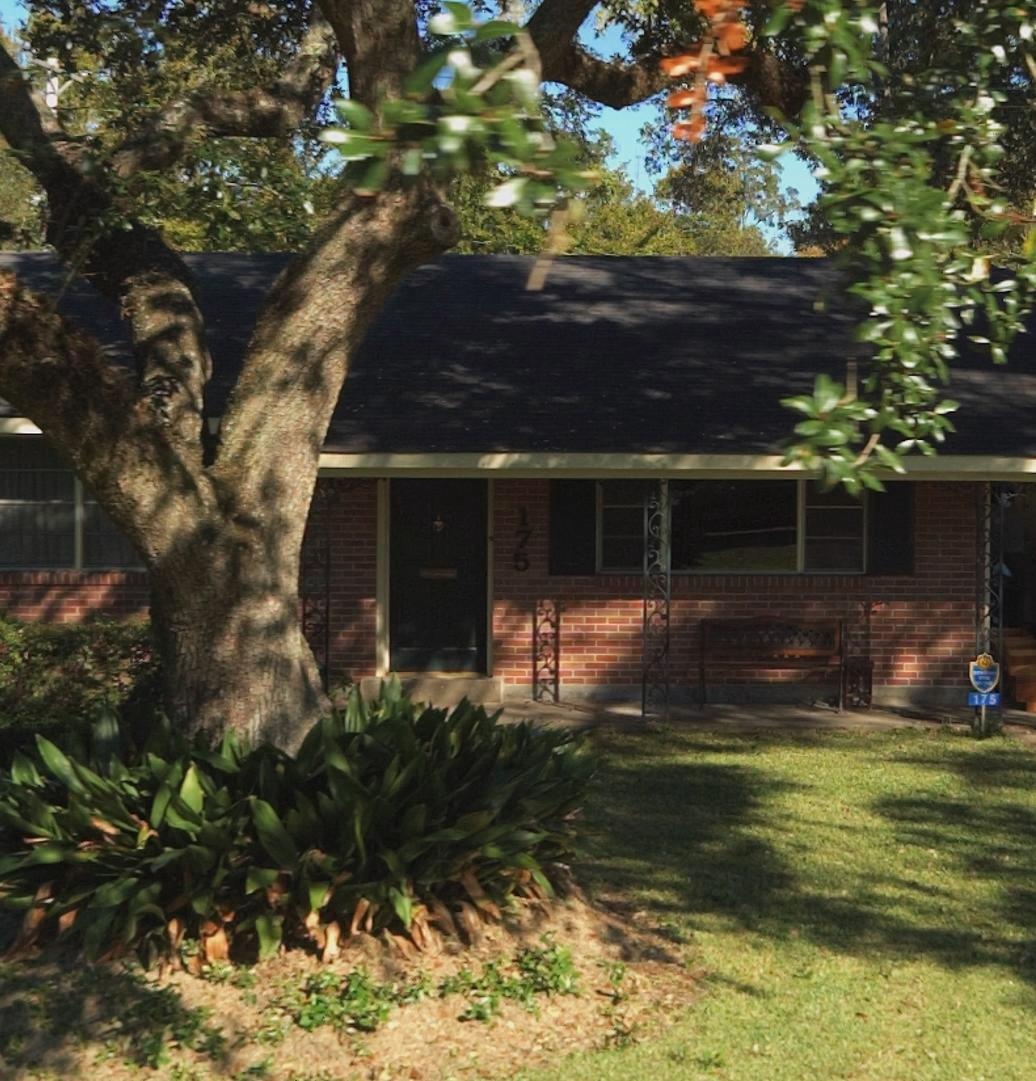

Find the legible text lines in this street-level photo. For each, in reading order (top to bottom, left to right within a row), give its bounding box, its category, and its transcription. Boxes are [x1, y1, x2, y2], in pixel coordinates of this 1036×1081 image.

[511, 504, 533, 574] StreetNumber: 175
[971, 693, 997, 705] StreetNumber: 175